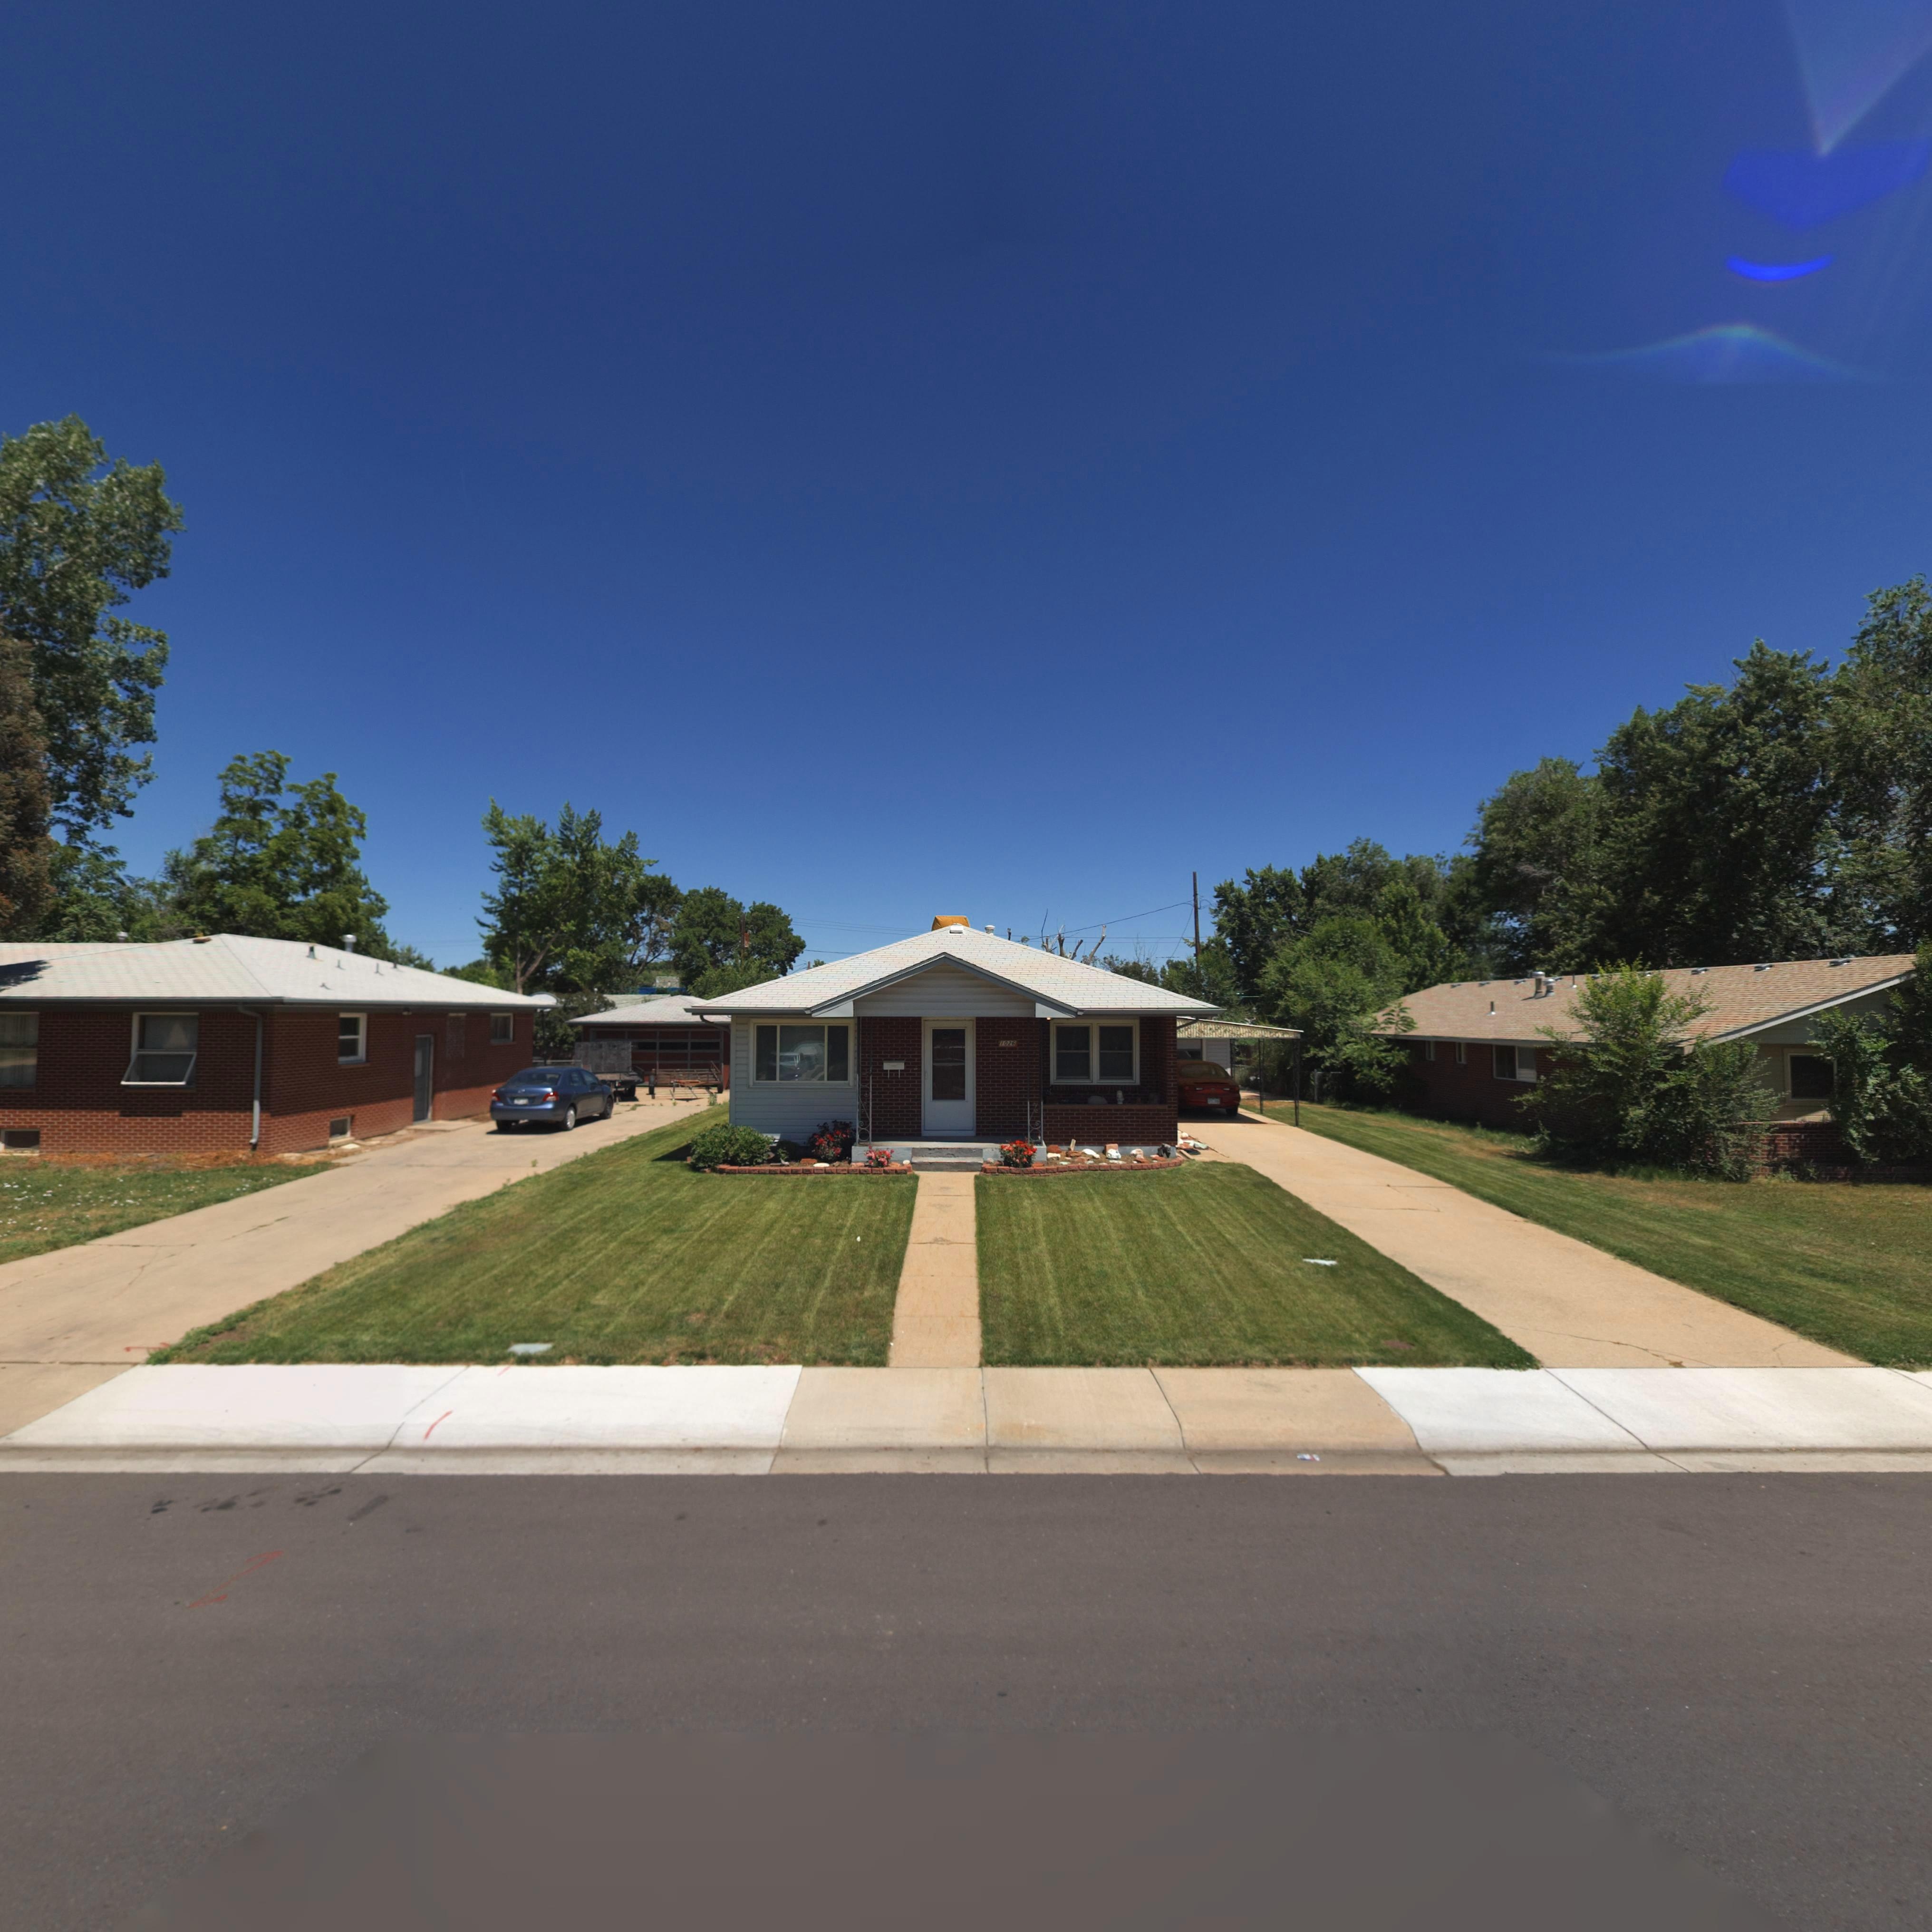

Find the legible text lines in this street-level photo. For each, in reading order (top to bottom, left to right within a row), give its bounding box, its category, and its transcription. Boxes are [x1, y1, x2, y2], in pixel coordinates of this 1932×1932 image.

[1000, 1041, 1015, 1046] StreetNumber: 1026